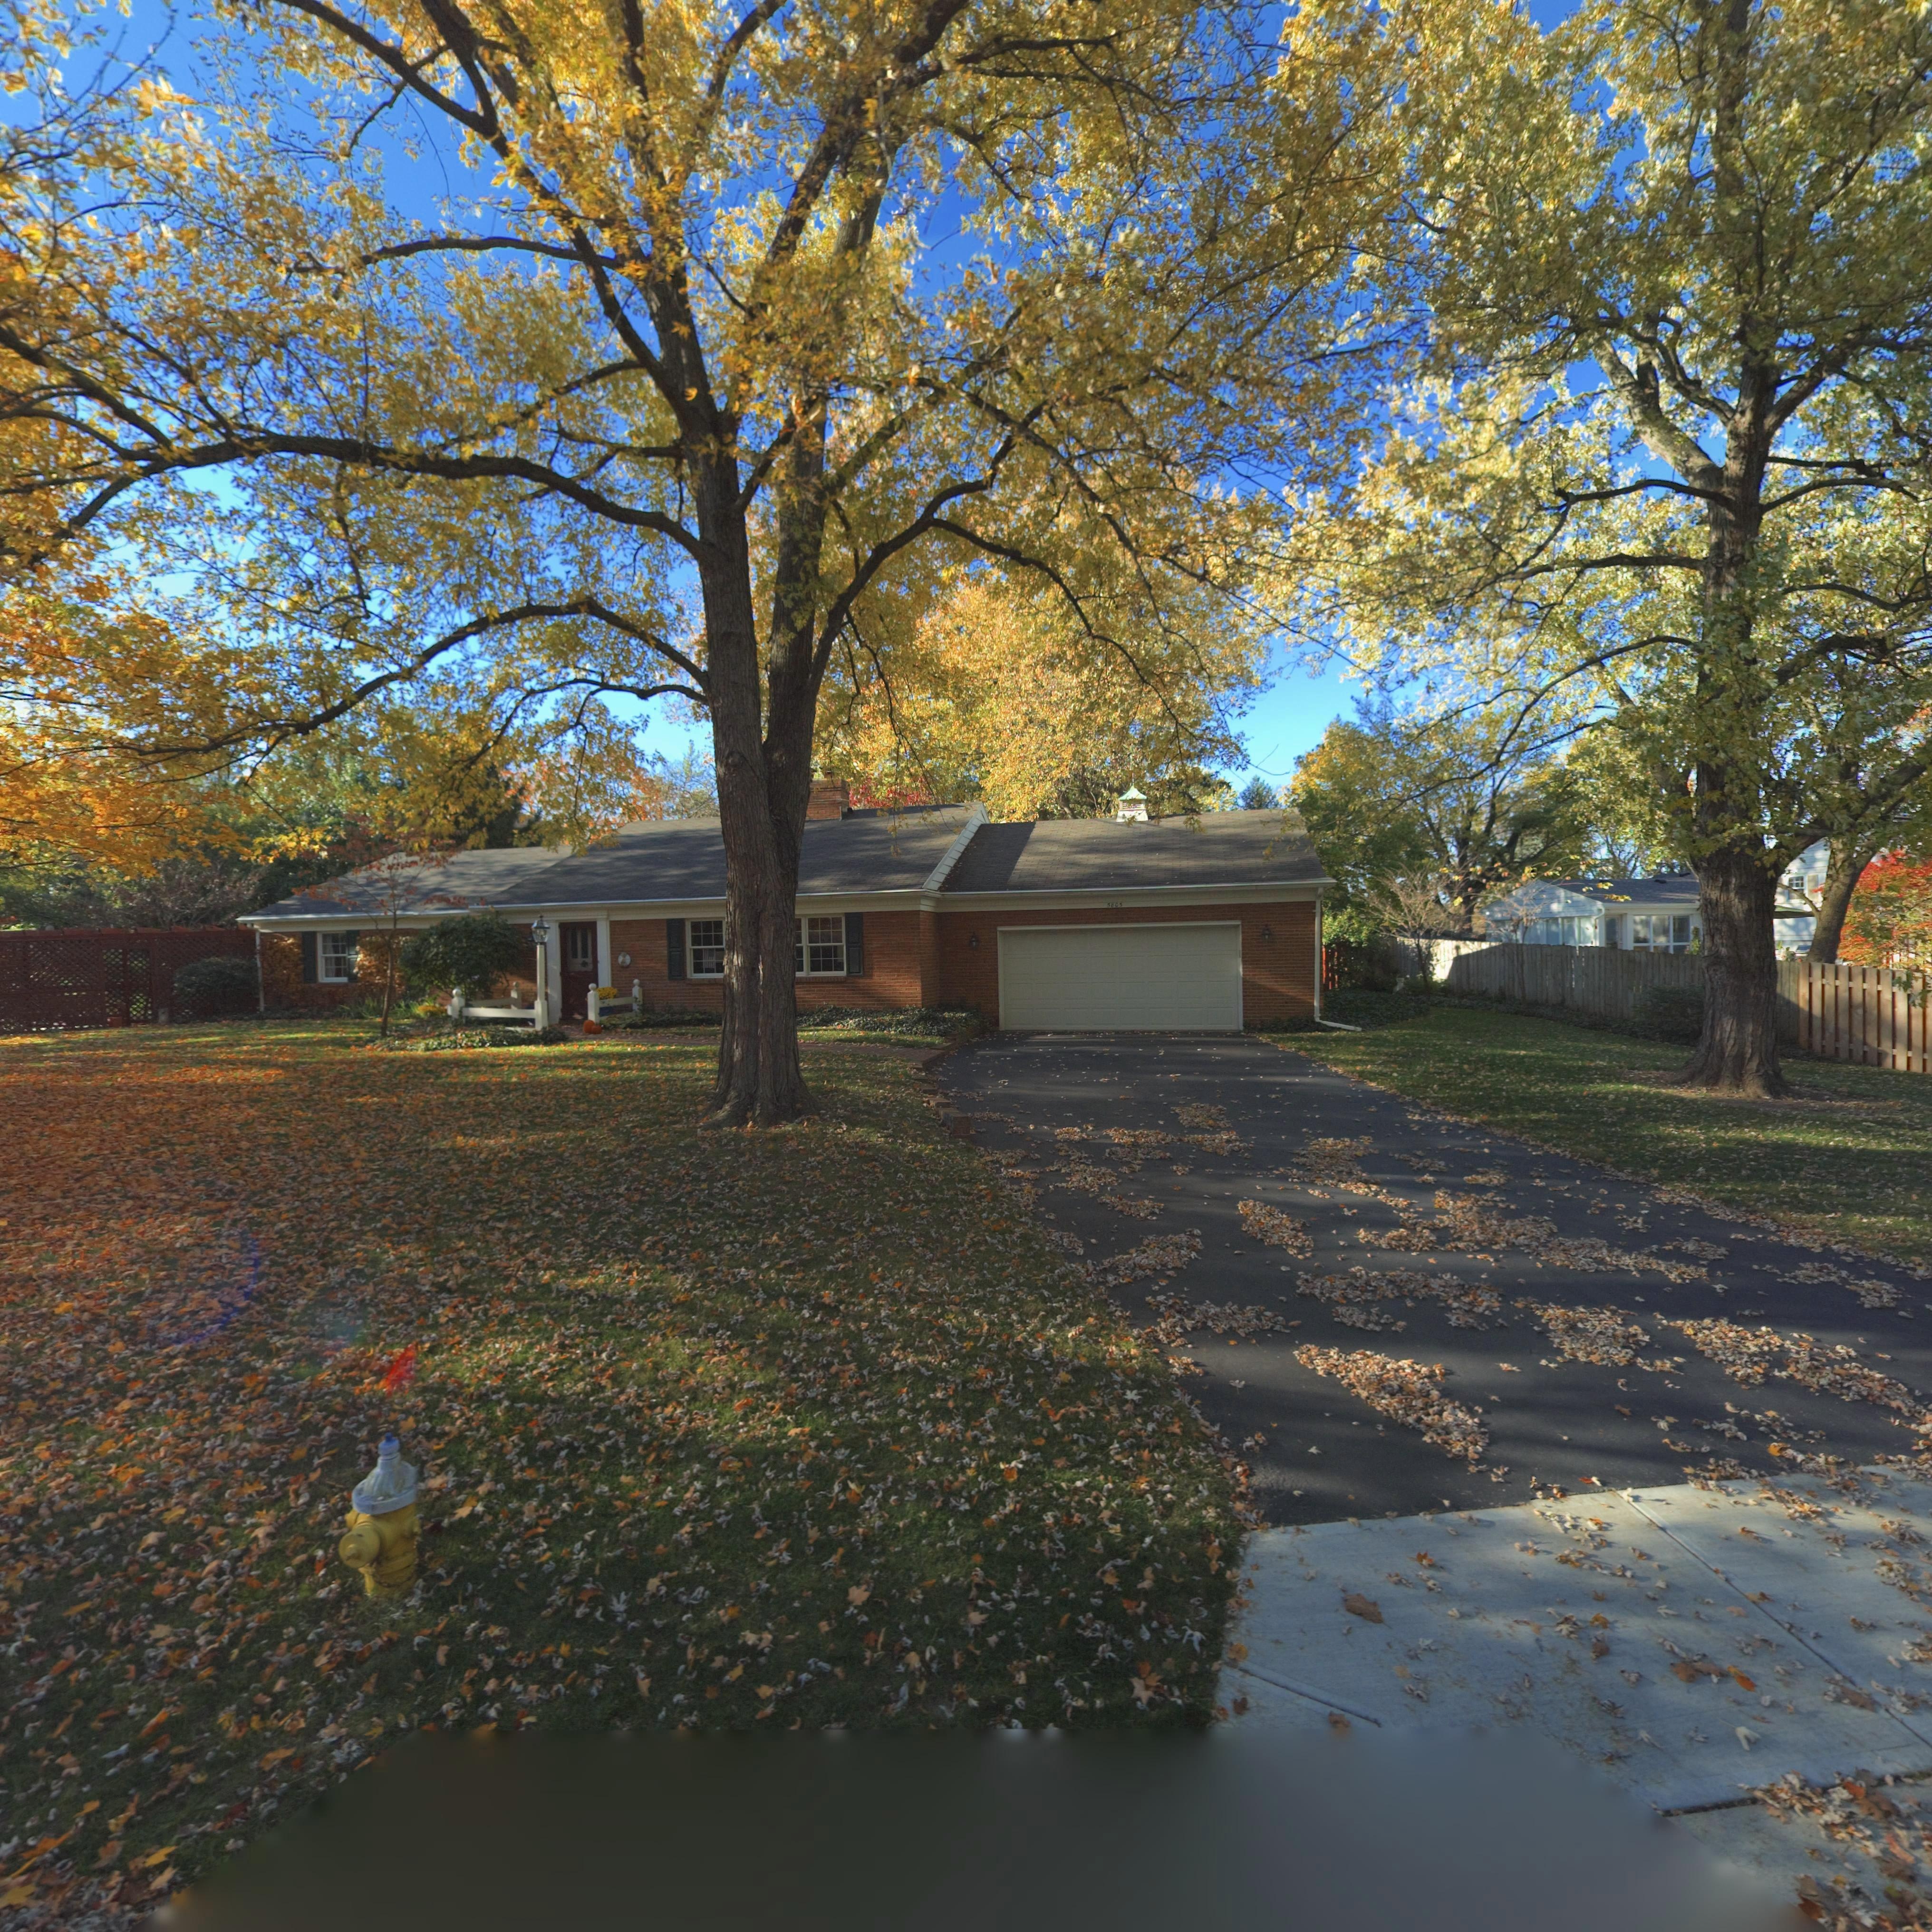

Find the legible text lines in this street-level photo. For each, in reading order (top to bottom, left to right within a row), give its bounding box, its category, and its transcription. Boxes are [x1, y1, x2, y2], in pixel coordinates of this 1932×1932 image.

[1106, 902, 1123, 908] StreetNumber: 5805